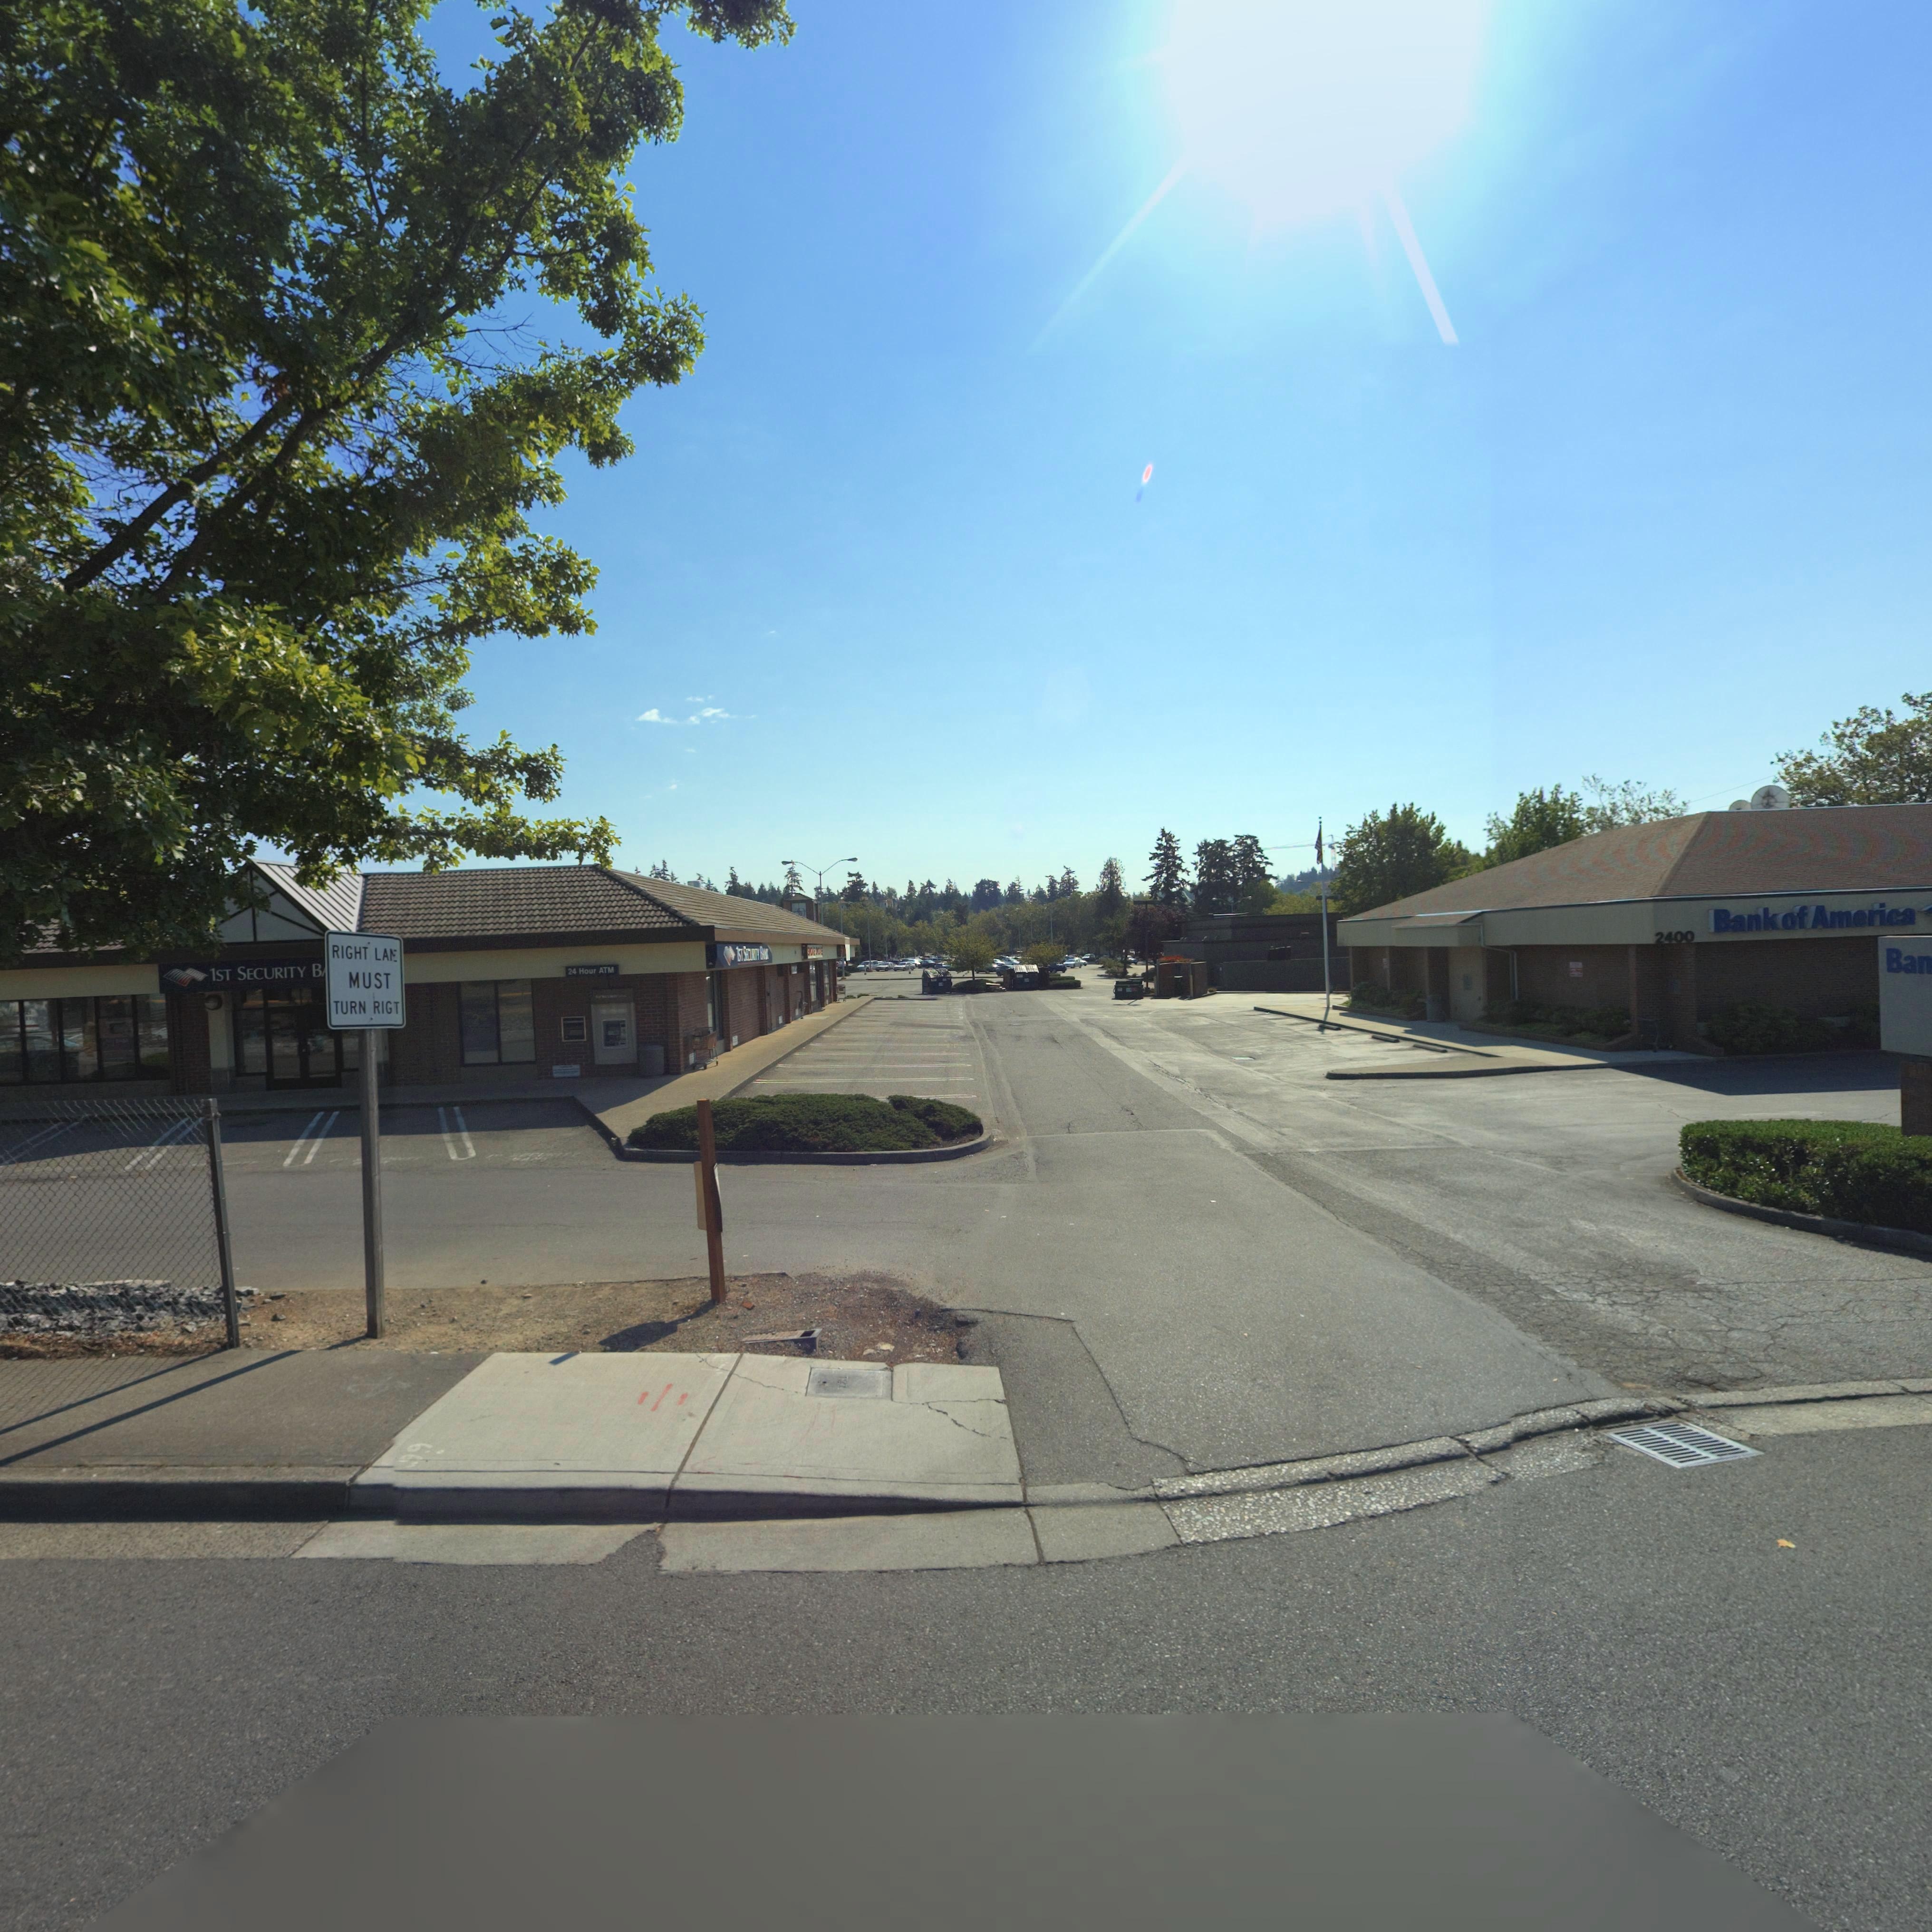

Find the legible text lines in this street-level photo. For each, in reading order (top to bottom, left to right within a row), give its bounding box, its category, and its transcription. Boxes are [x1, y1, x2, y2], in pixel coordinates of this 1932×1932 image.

[1712, 901, 1917, 934] BusinessName: Bank of America
[1655, 930, 1695, 944] StreetNumber: 2400
[735, 946, 769, 962] BusinessName: 1ST SECURITY BAN*
[1885, 947, 1932, 975] BusinessName: Ban
[209, 963, 322, 982] BusinessName: 1ST SECURITY B